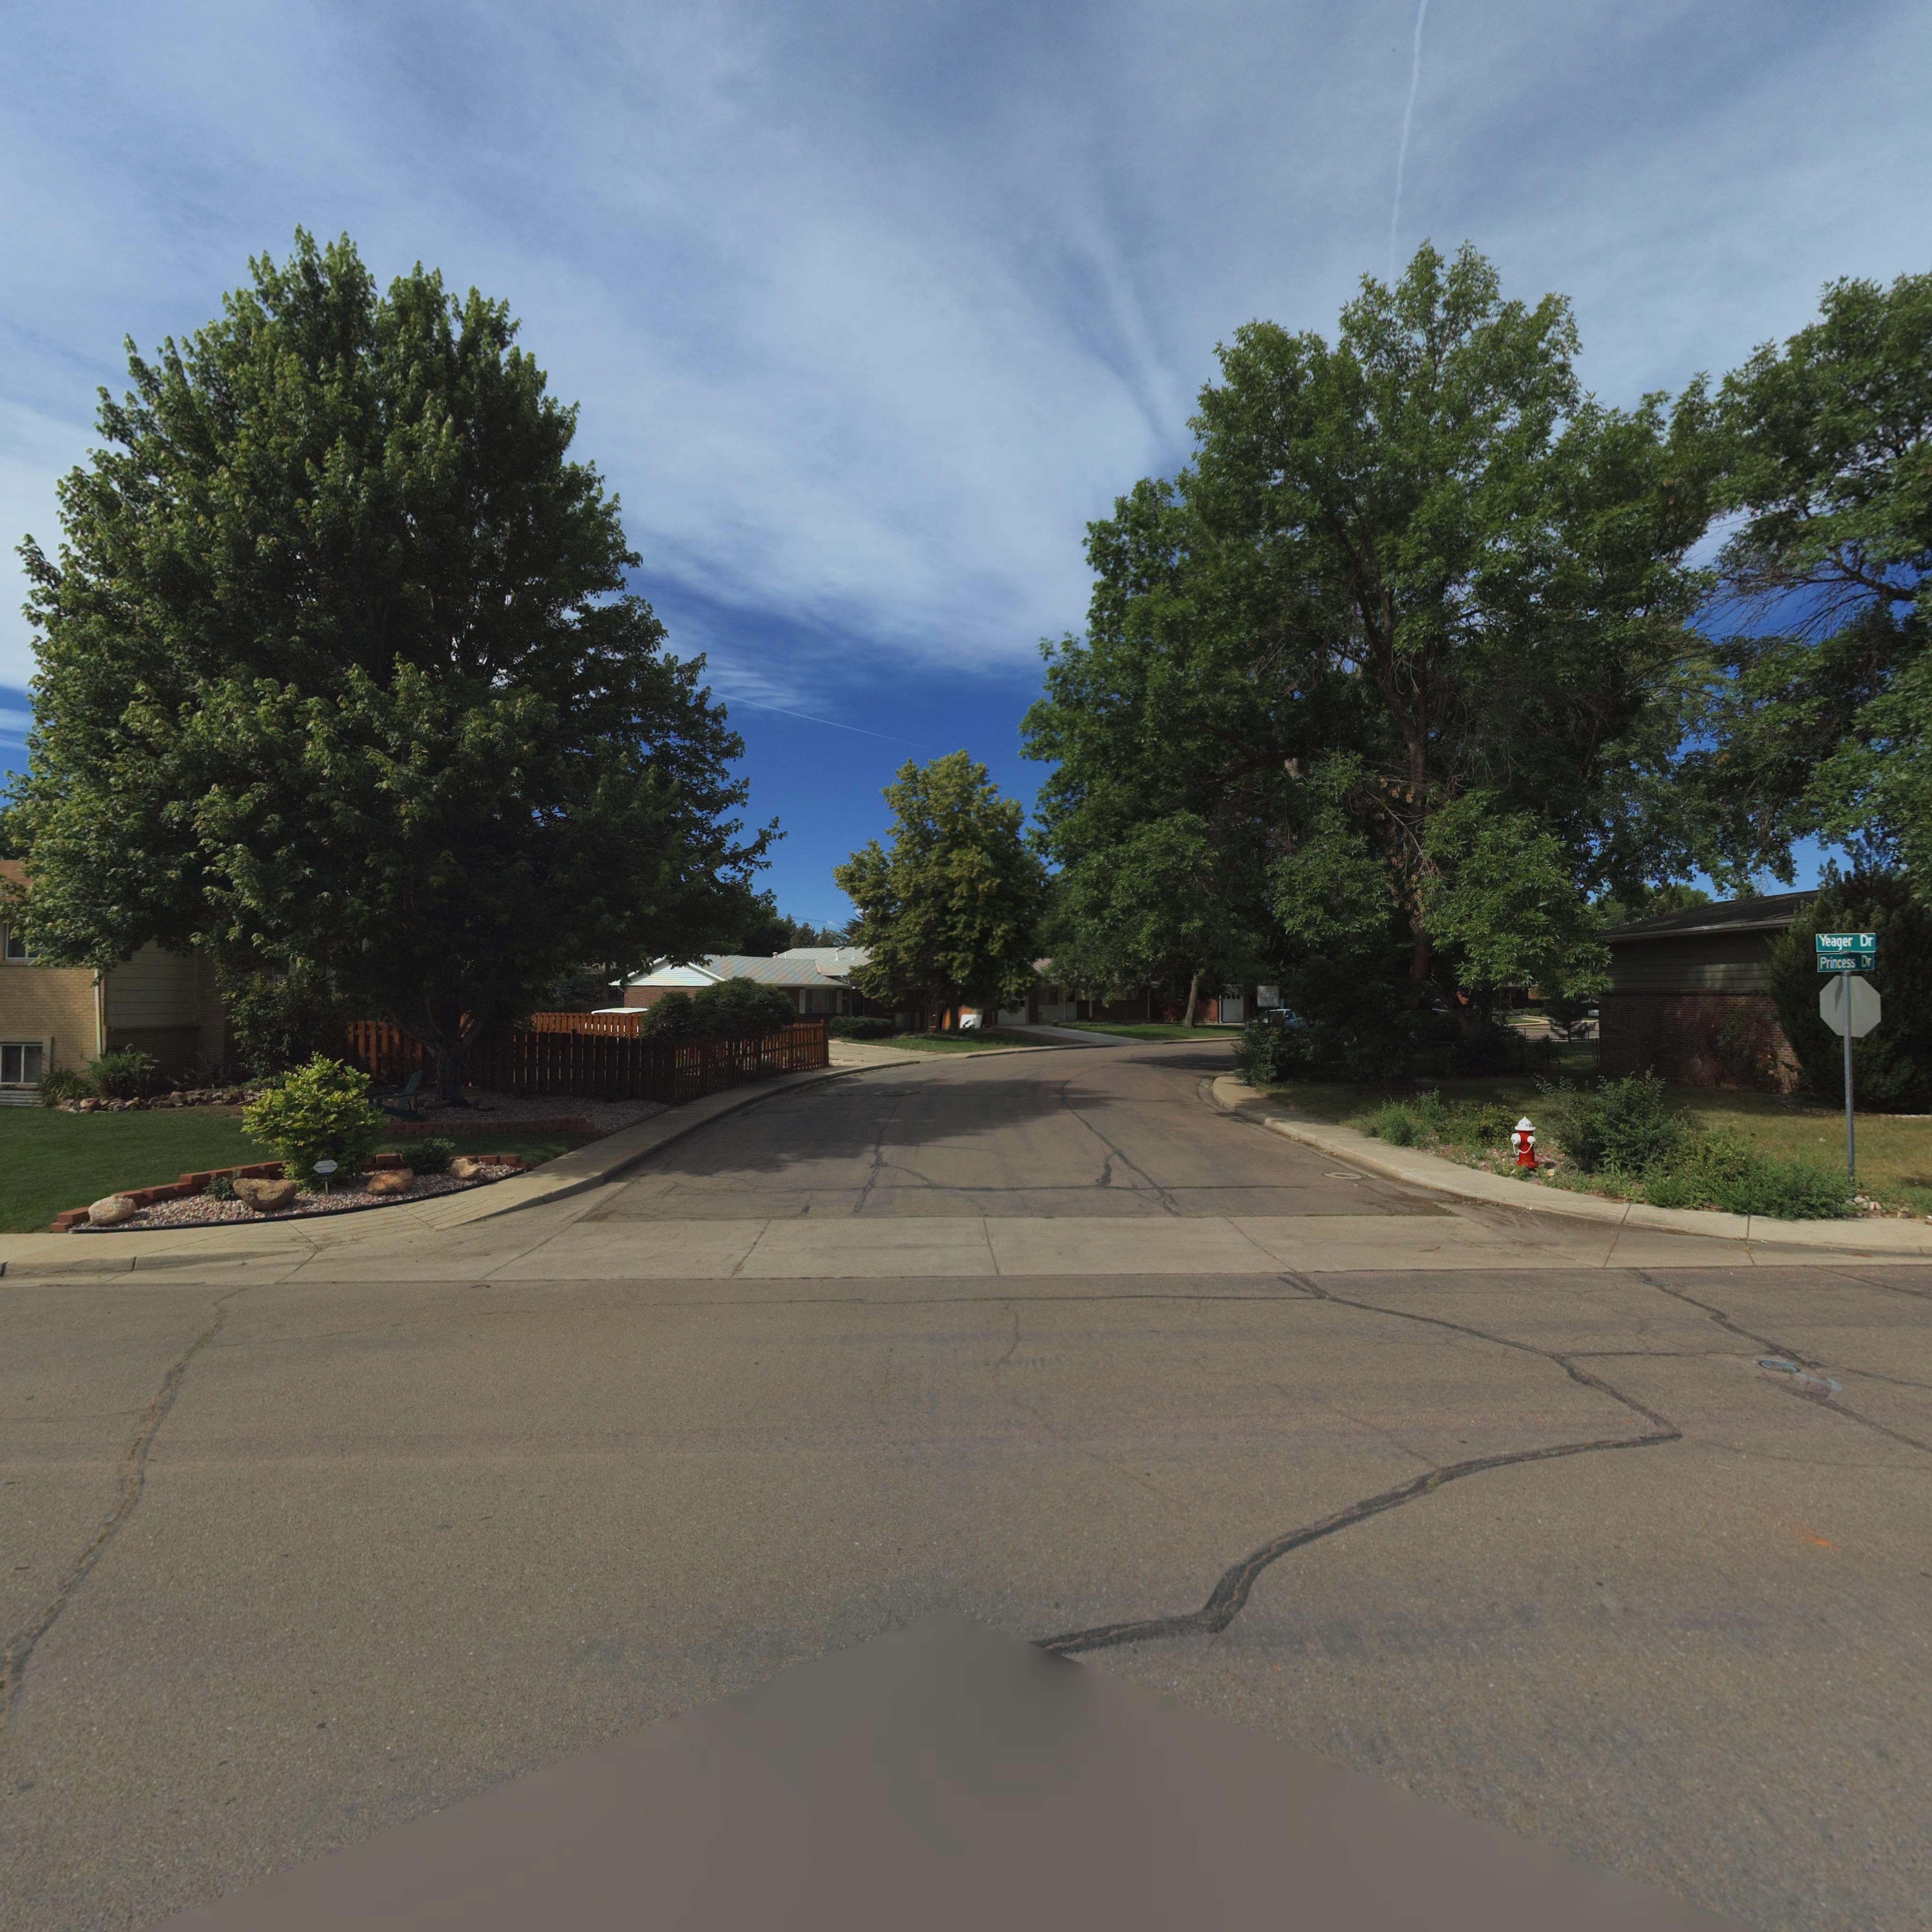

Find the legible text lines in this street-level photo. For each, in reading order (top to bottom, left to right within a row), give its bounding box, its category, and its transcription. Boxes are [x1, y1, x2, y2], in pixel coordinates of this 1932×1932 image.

[1817, 934, 1874, 950] StreetName: Yeager Dr
[1819, 955, 1872, 969] StreetName: Princess Dr